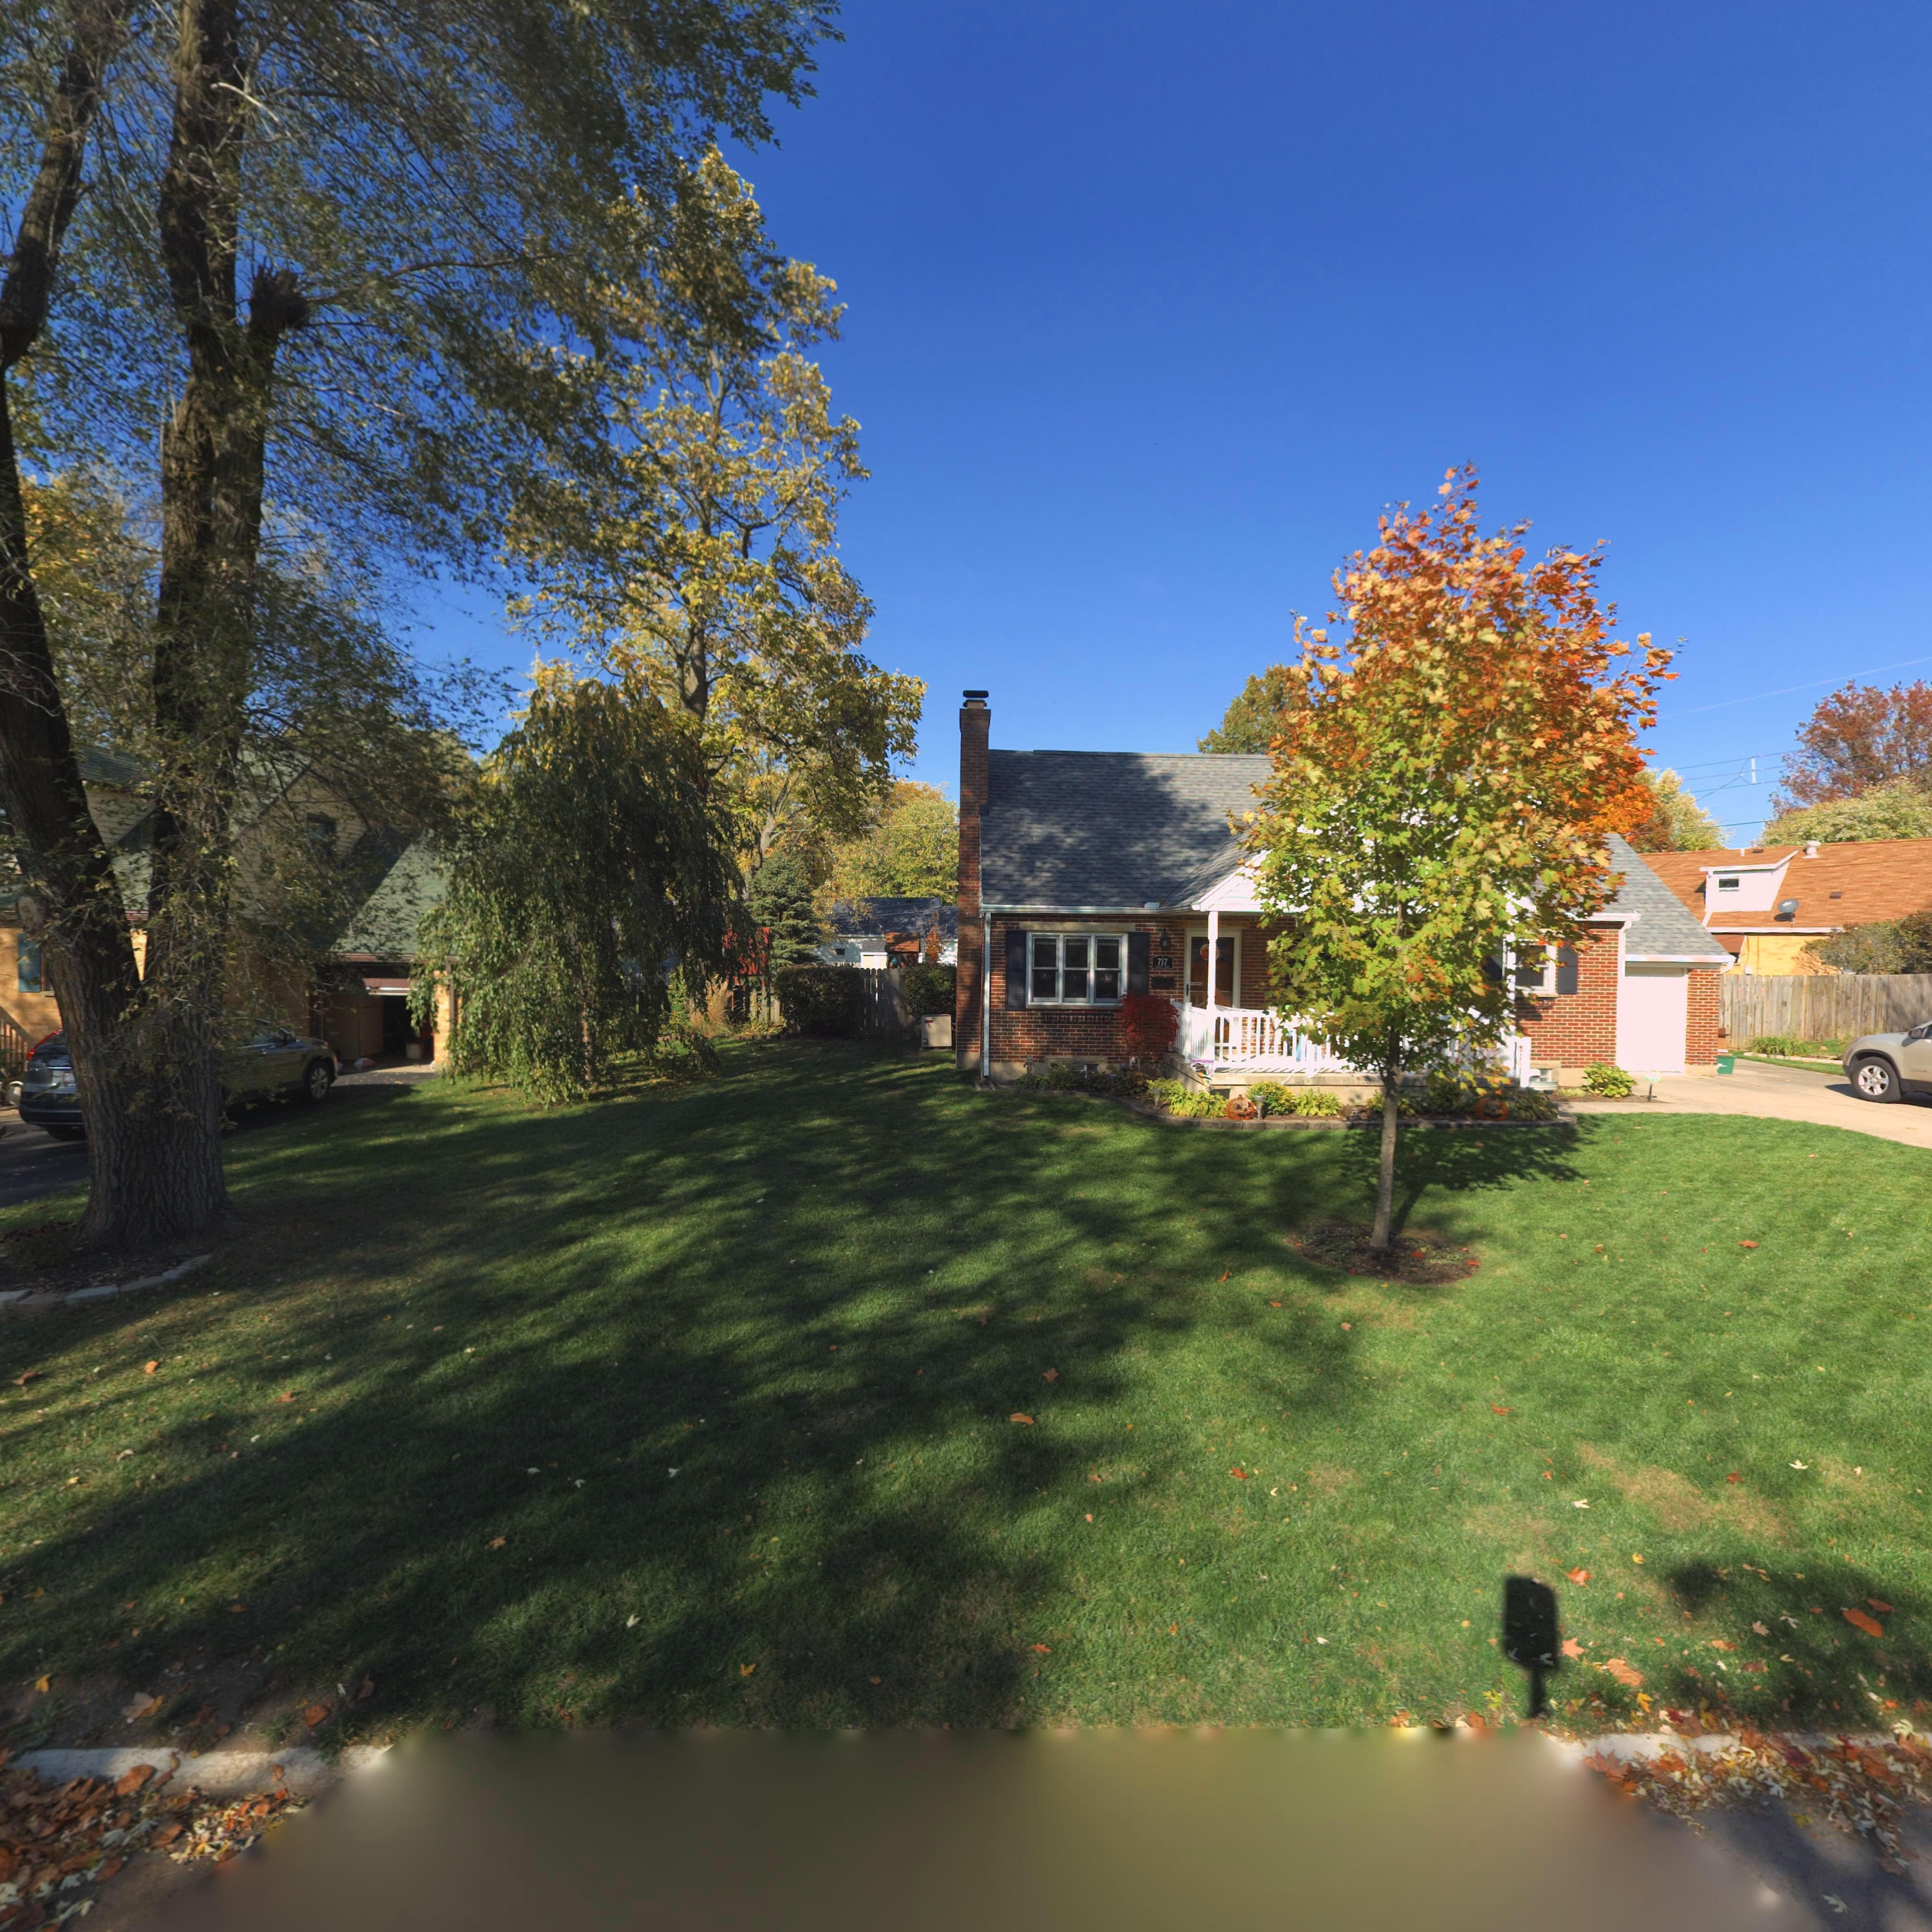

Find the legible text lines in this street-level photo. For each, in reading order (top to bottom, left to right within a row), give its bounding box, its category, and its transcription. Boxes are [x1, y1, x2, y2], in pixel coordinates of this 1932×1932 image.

[1156, 957, 1169, 966] StreetNumber: 717